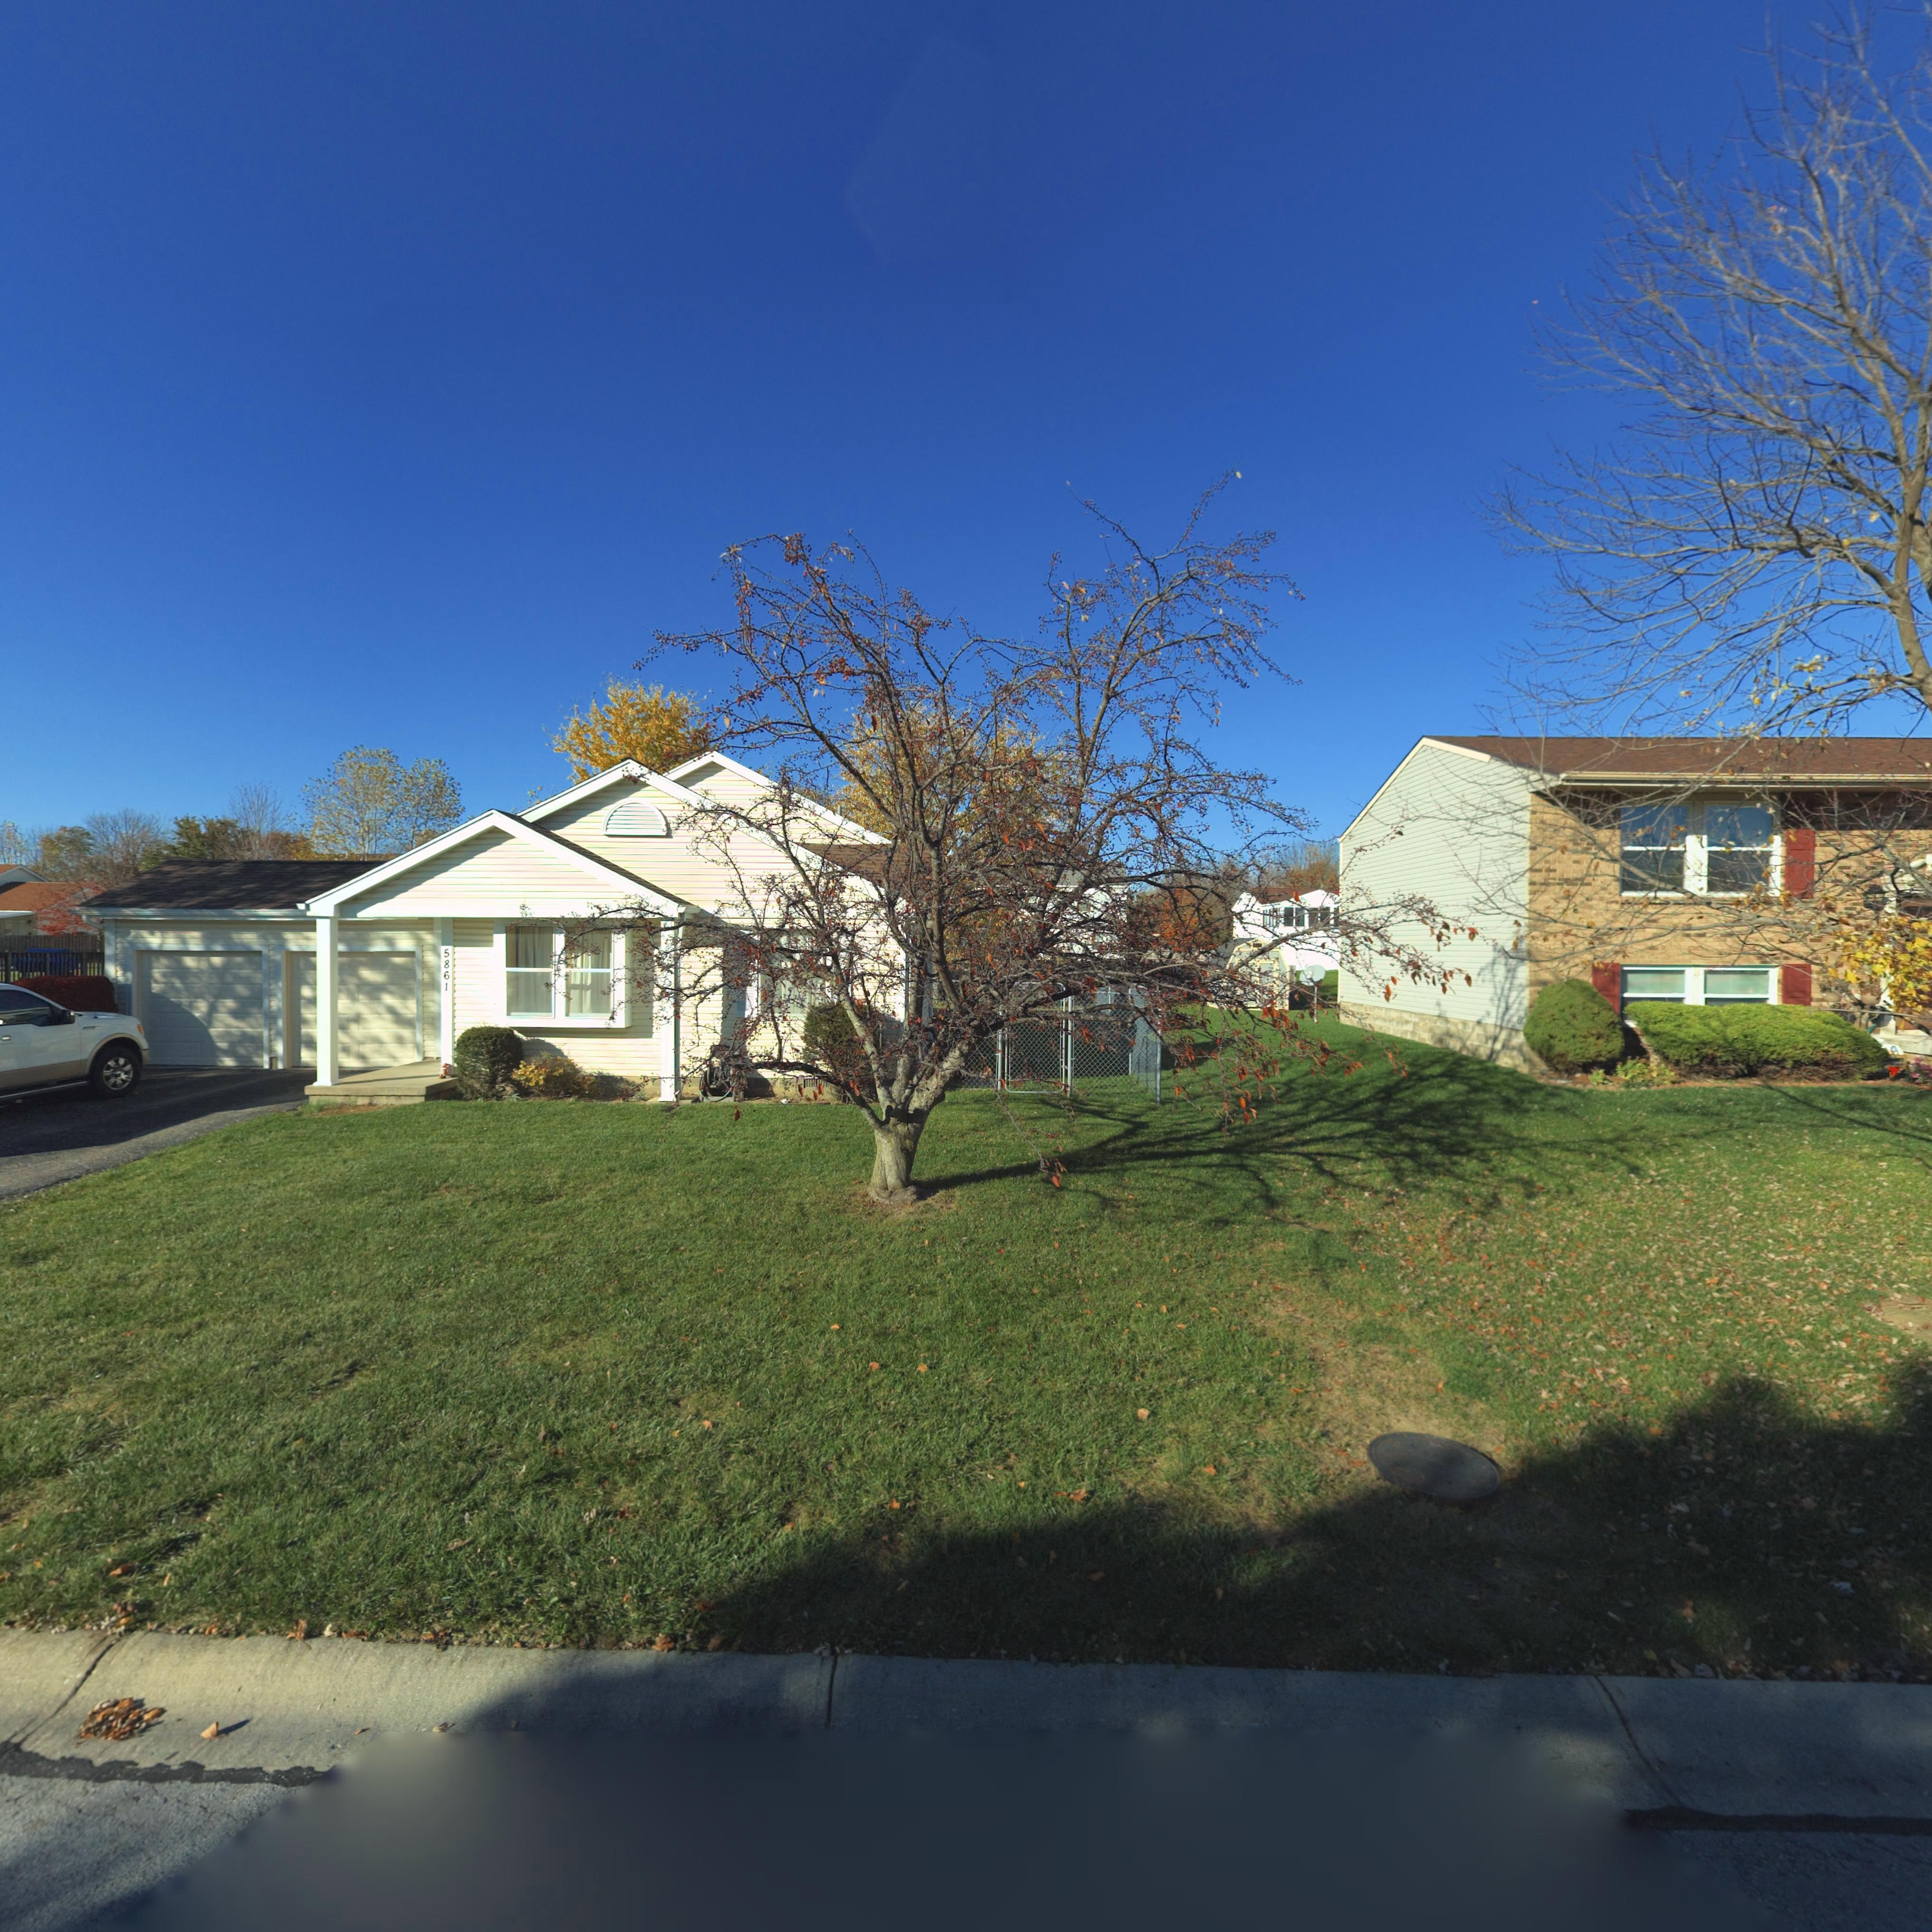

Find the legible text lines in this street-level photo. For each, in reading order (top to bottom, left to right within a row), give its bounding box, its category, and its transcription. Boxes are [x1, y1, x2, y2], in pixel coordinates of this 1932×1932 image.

[443, 947, 451, 993] StreetNumber: 5861